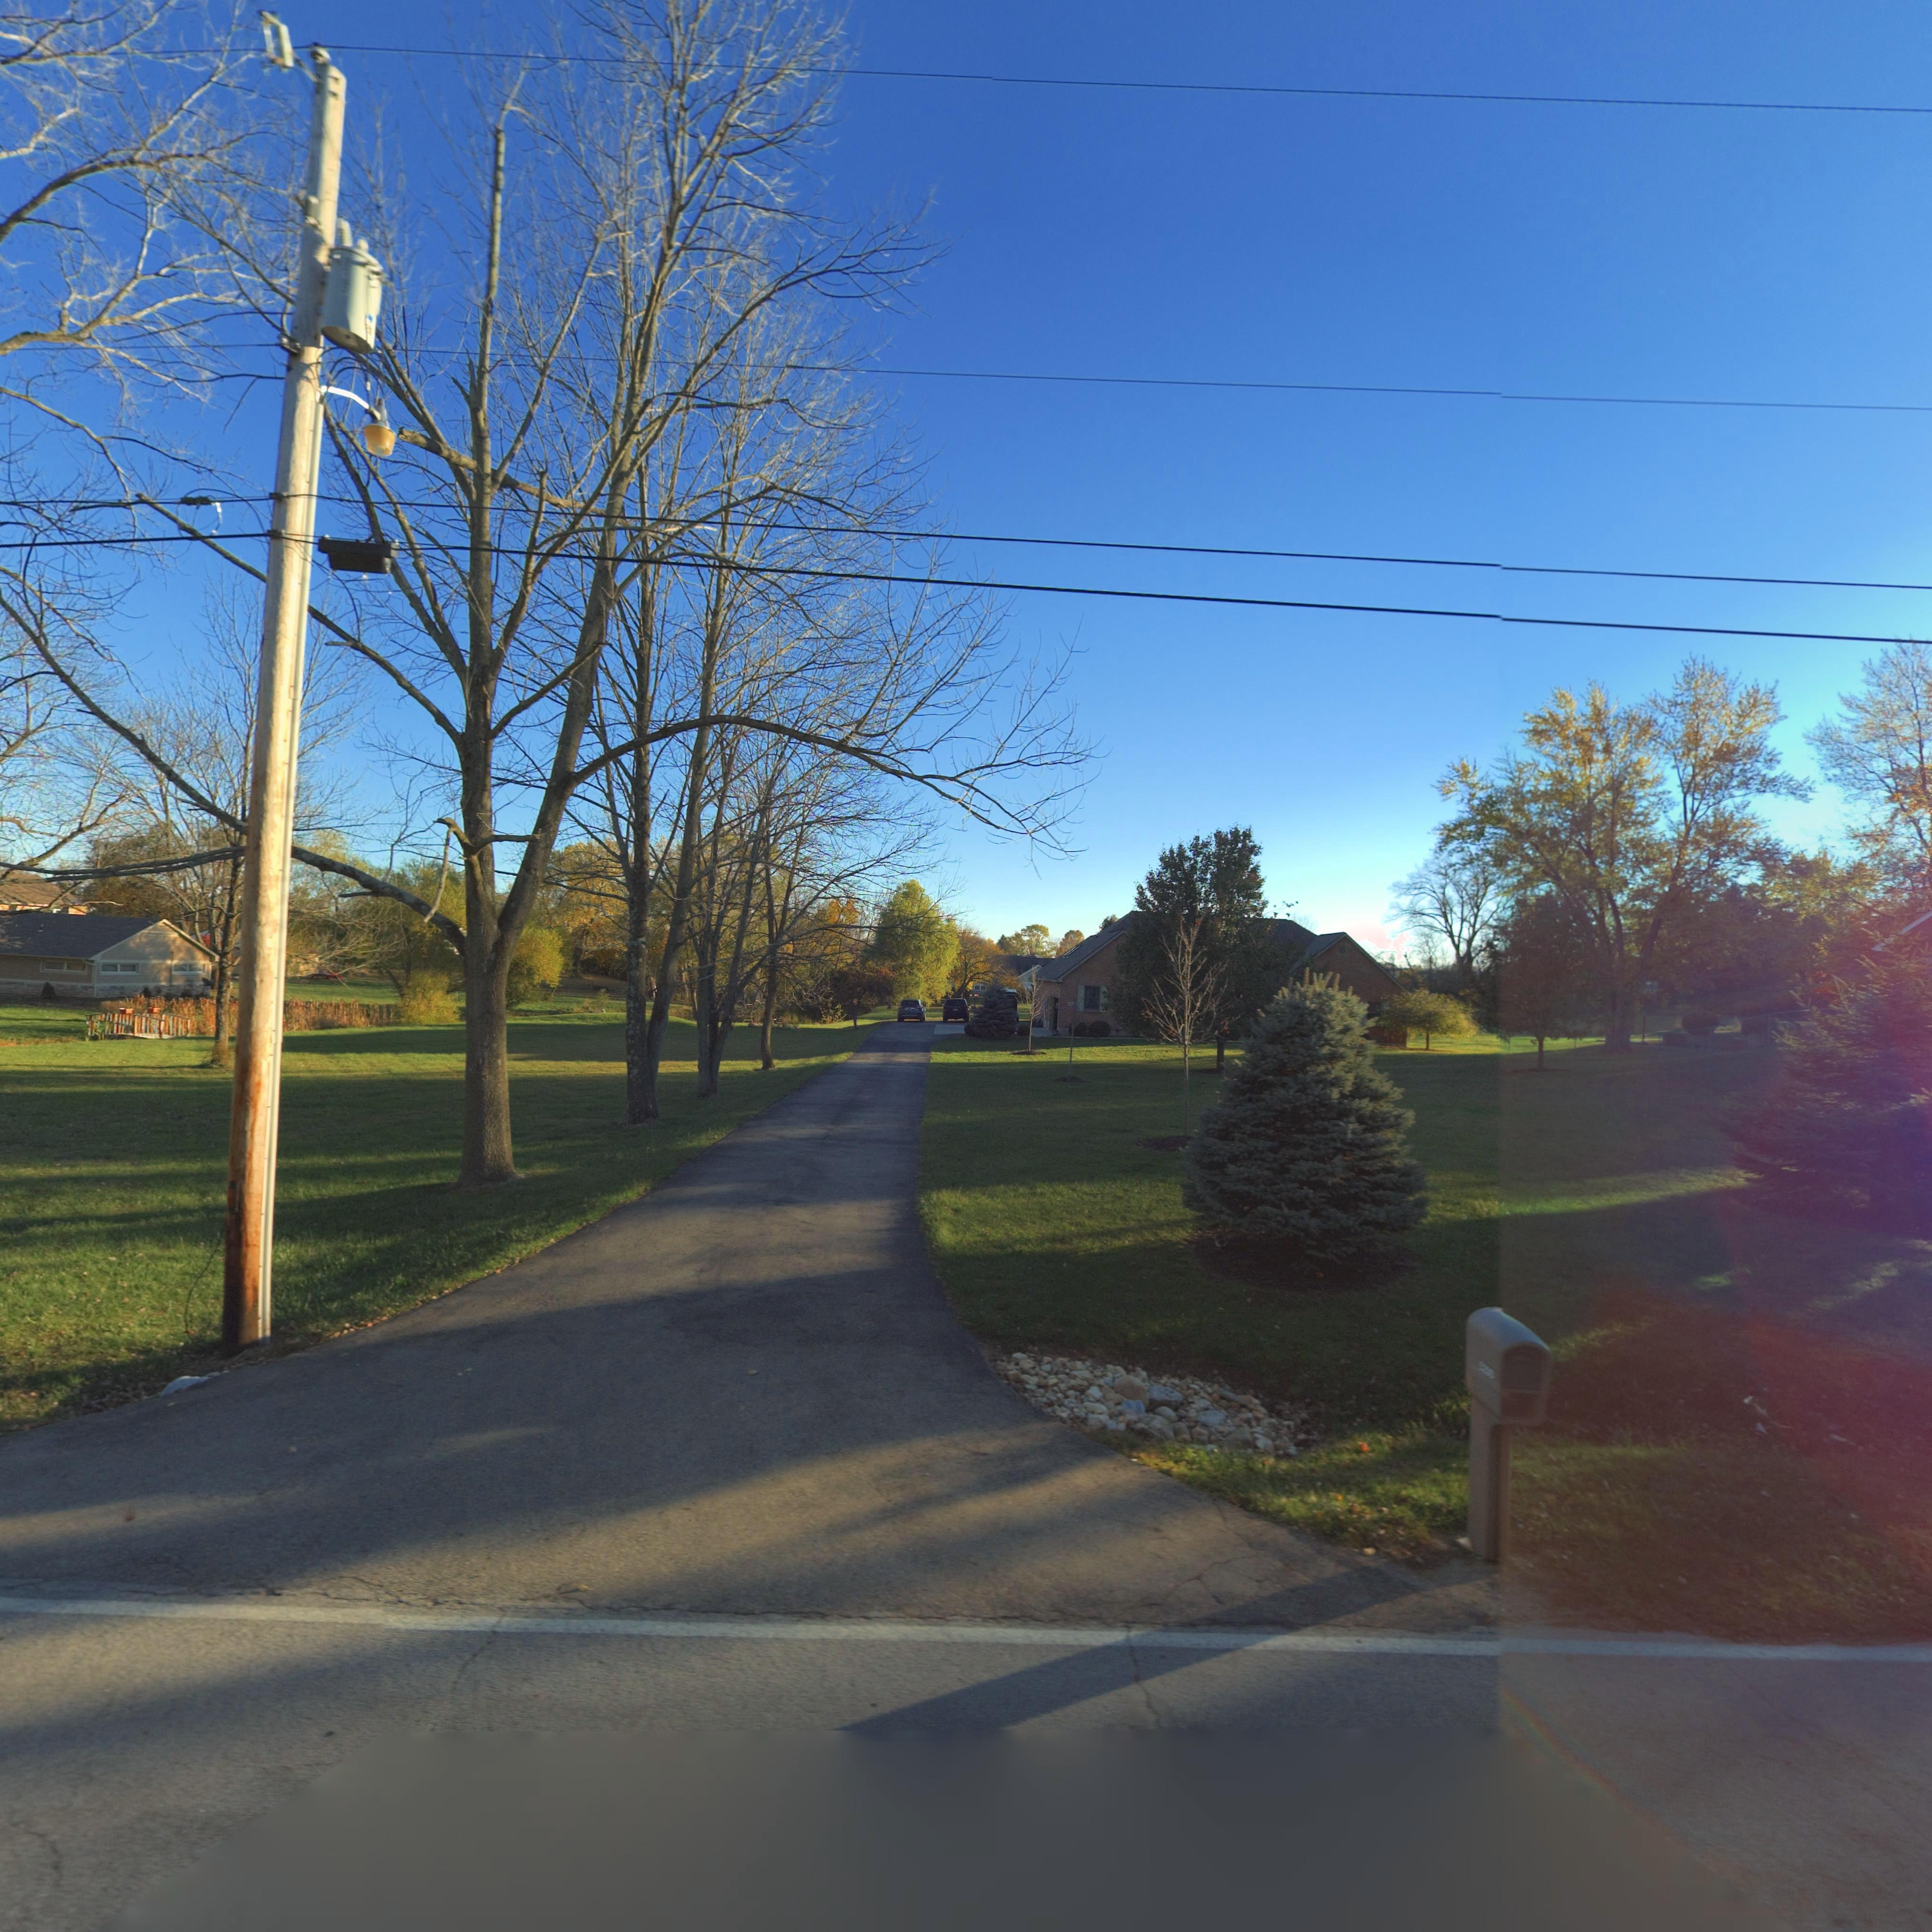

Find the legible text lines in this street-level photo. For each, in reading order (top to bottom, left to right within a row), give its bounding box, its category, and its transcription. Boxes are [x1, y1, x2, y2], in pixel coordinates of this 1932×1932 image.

[1478, 1360, 1497, 1381] StreetNumber: ***0